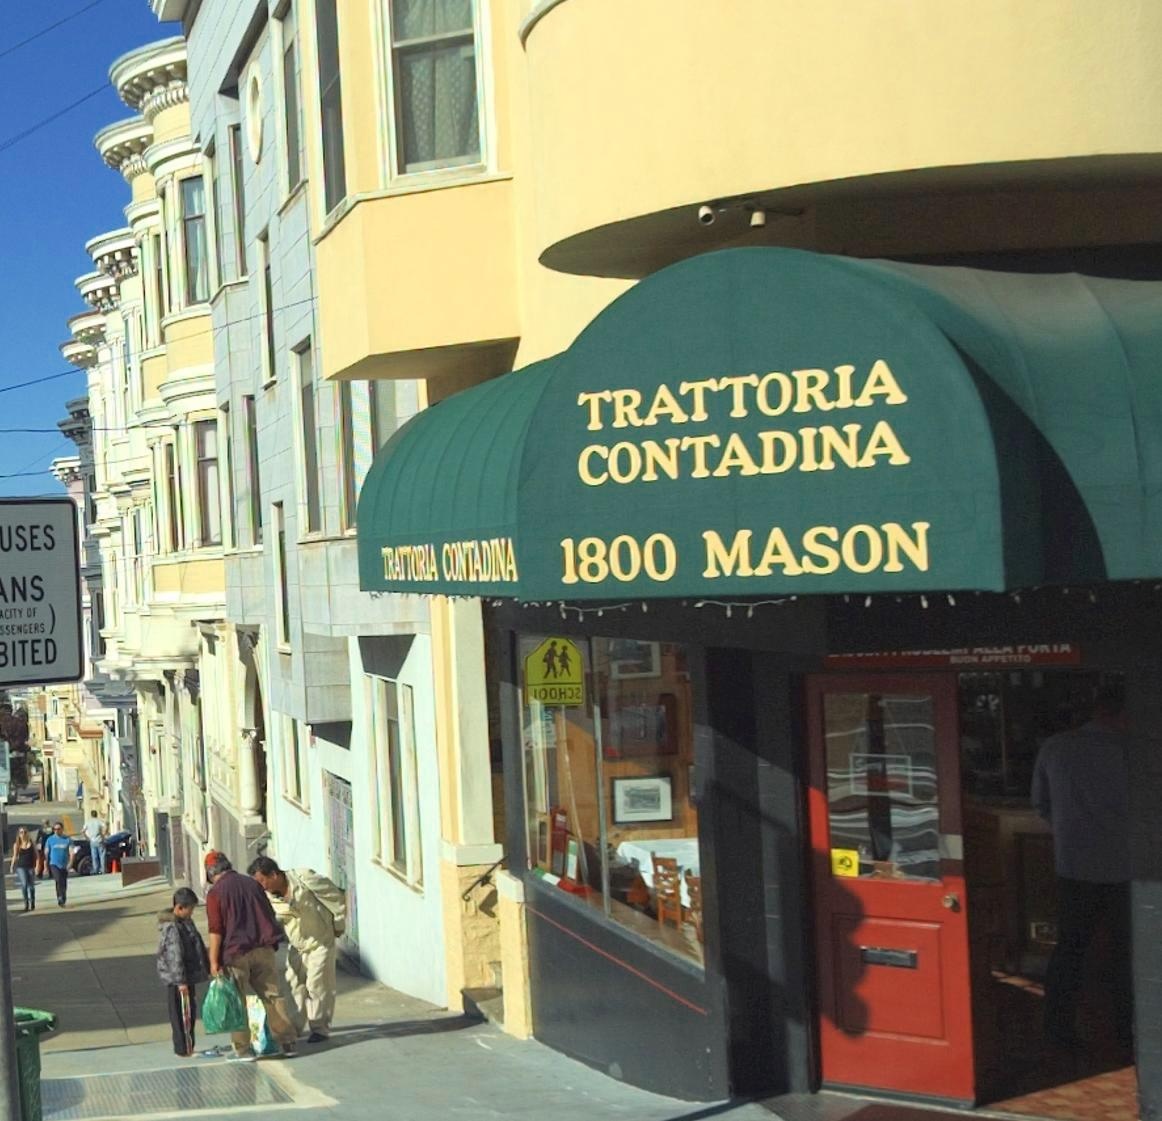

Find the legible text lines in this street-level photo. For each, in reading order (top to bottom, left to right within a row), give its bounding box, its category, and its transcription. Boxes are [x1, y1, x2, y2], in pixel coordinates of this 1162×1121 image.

[575, 357, 912, 432] BusinessName: TRATTORIA
[576, 418, 914, 487] BusinessName: CONTADINA
[12, 522, 58, 553] None: SES
[380, 535, 519, 582] BusinessName: TRATTORIA CONTADINA
[557, 531, 680, 586] StreetNumber: 1800
[701, 520, 933, 580] StreetName: MASON
[9, 573, 47, 604] None: NS
[2, 606, 39, 619] None: CITY OF
[4, 621, 46, 636] None: SENGERS
[9, 636, 59, 668] None: ITED
[537, 685, 569, 701] None: OOH
[852, 757, 865, 773] None: S